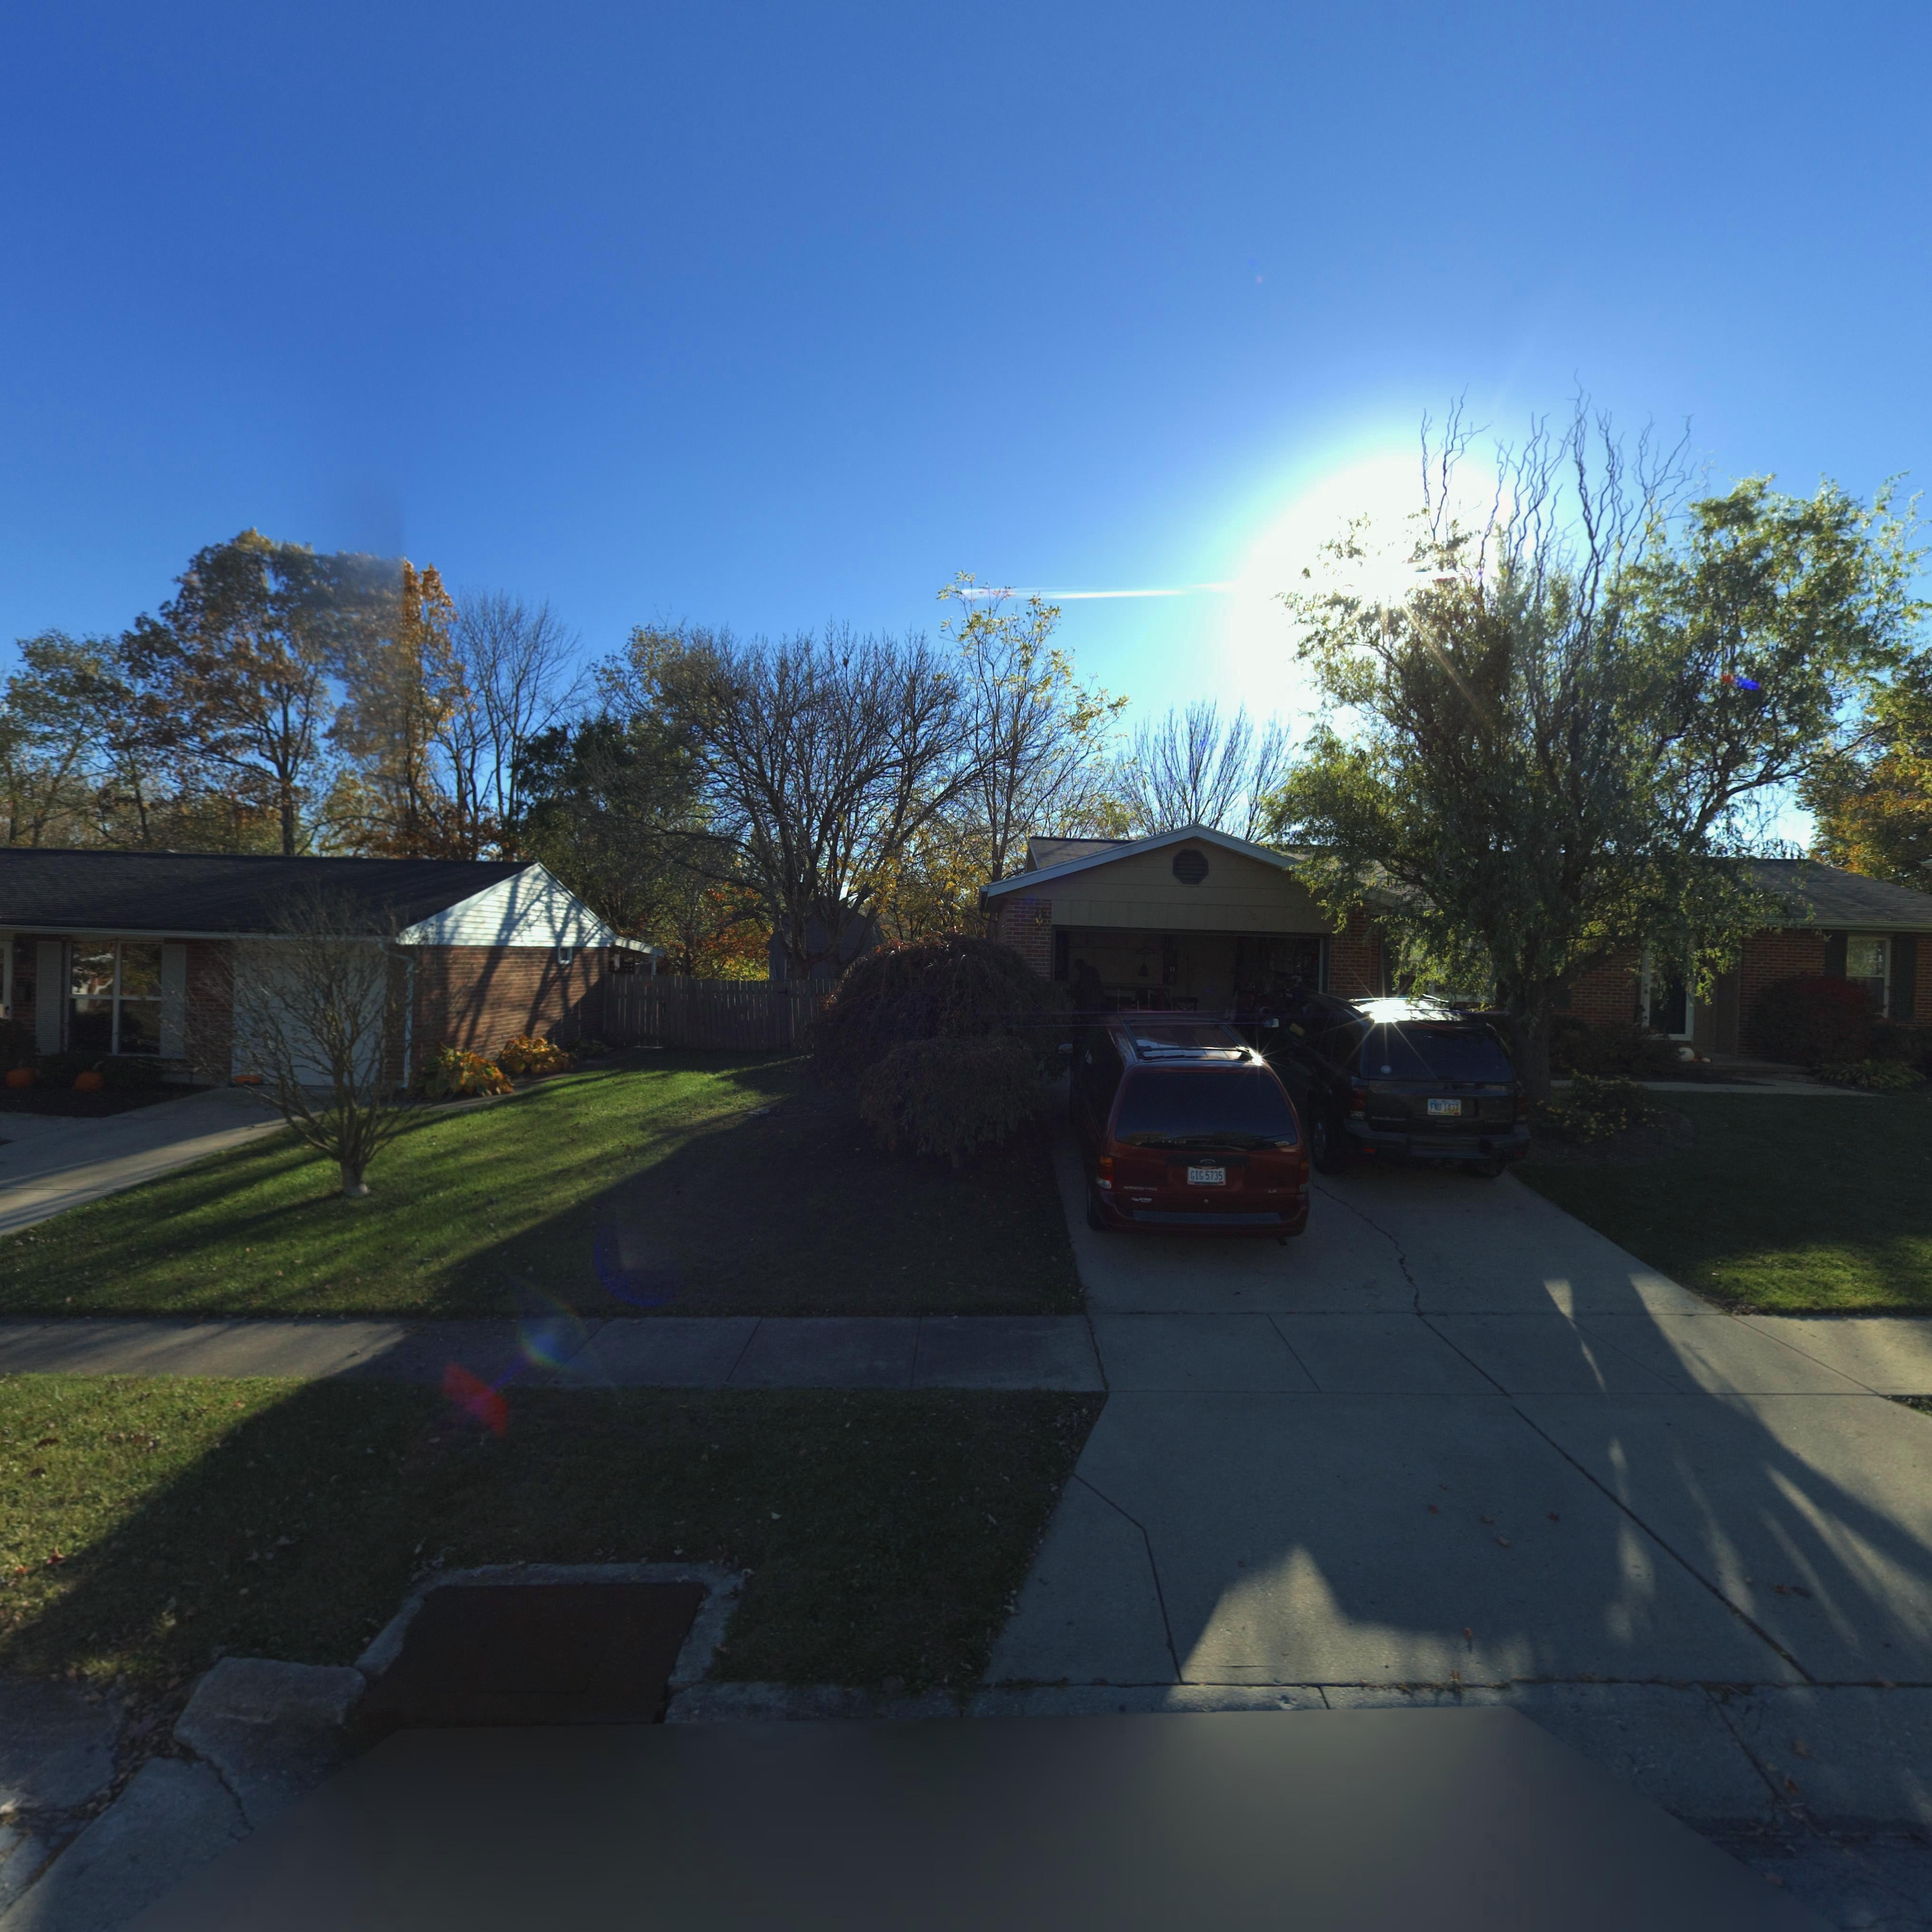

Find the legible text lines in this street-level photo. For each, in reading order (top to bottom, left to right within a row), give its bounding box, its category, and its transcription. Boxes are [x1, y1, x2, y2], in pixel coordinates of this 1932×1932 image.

[1247, 909, 1265, 930] StreetNumber: 50*6